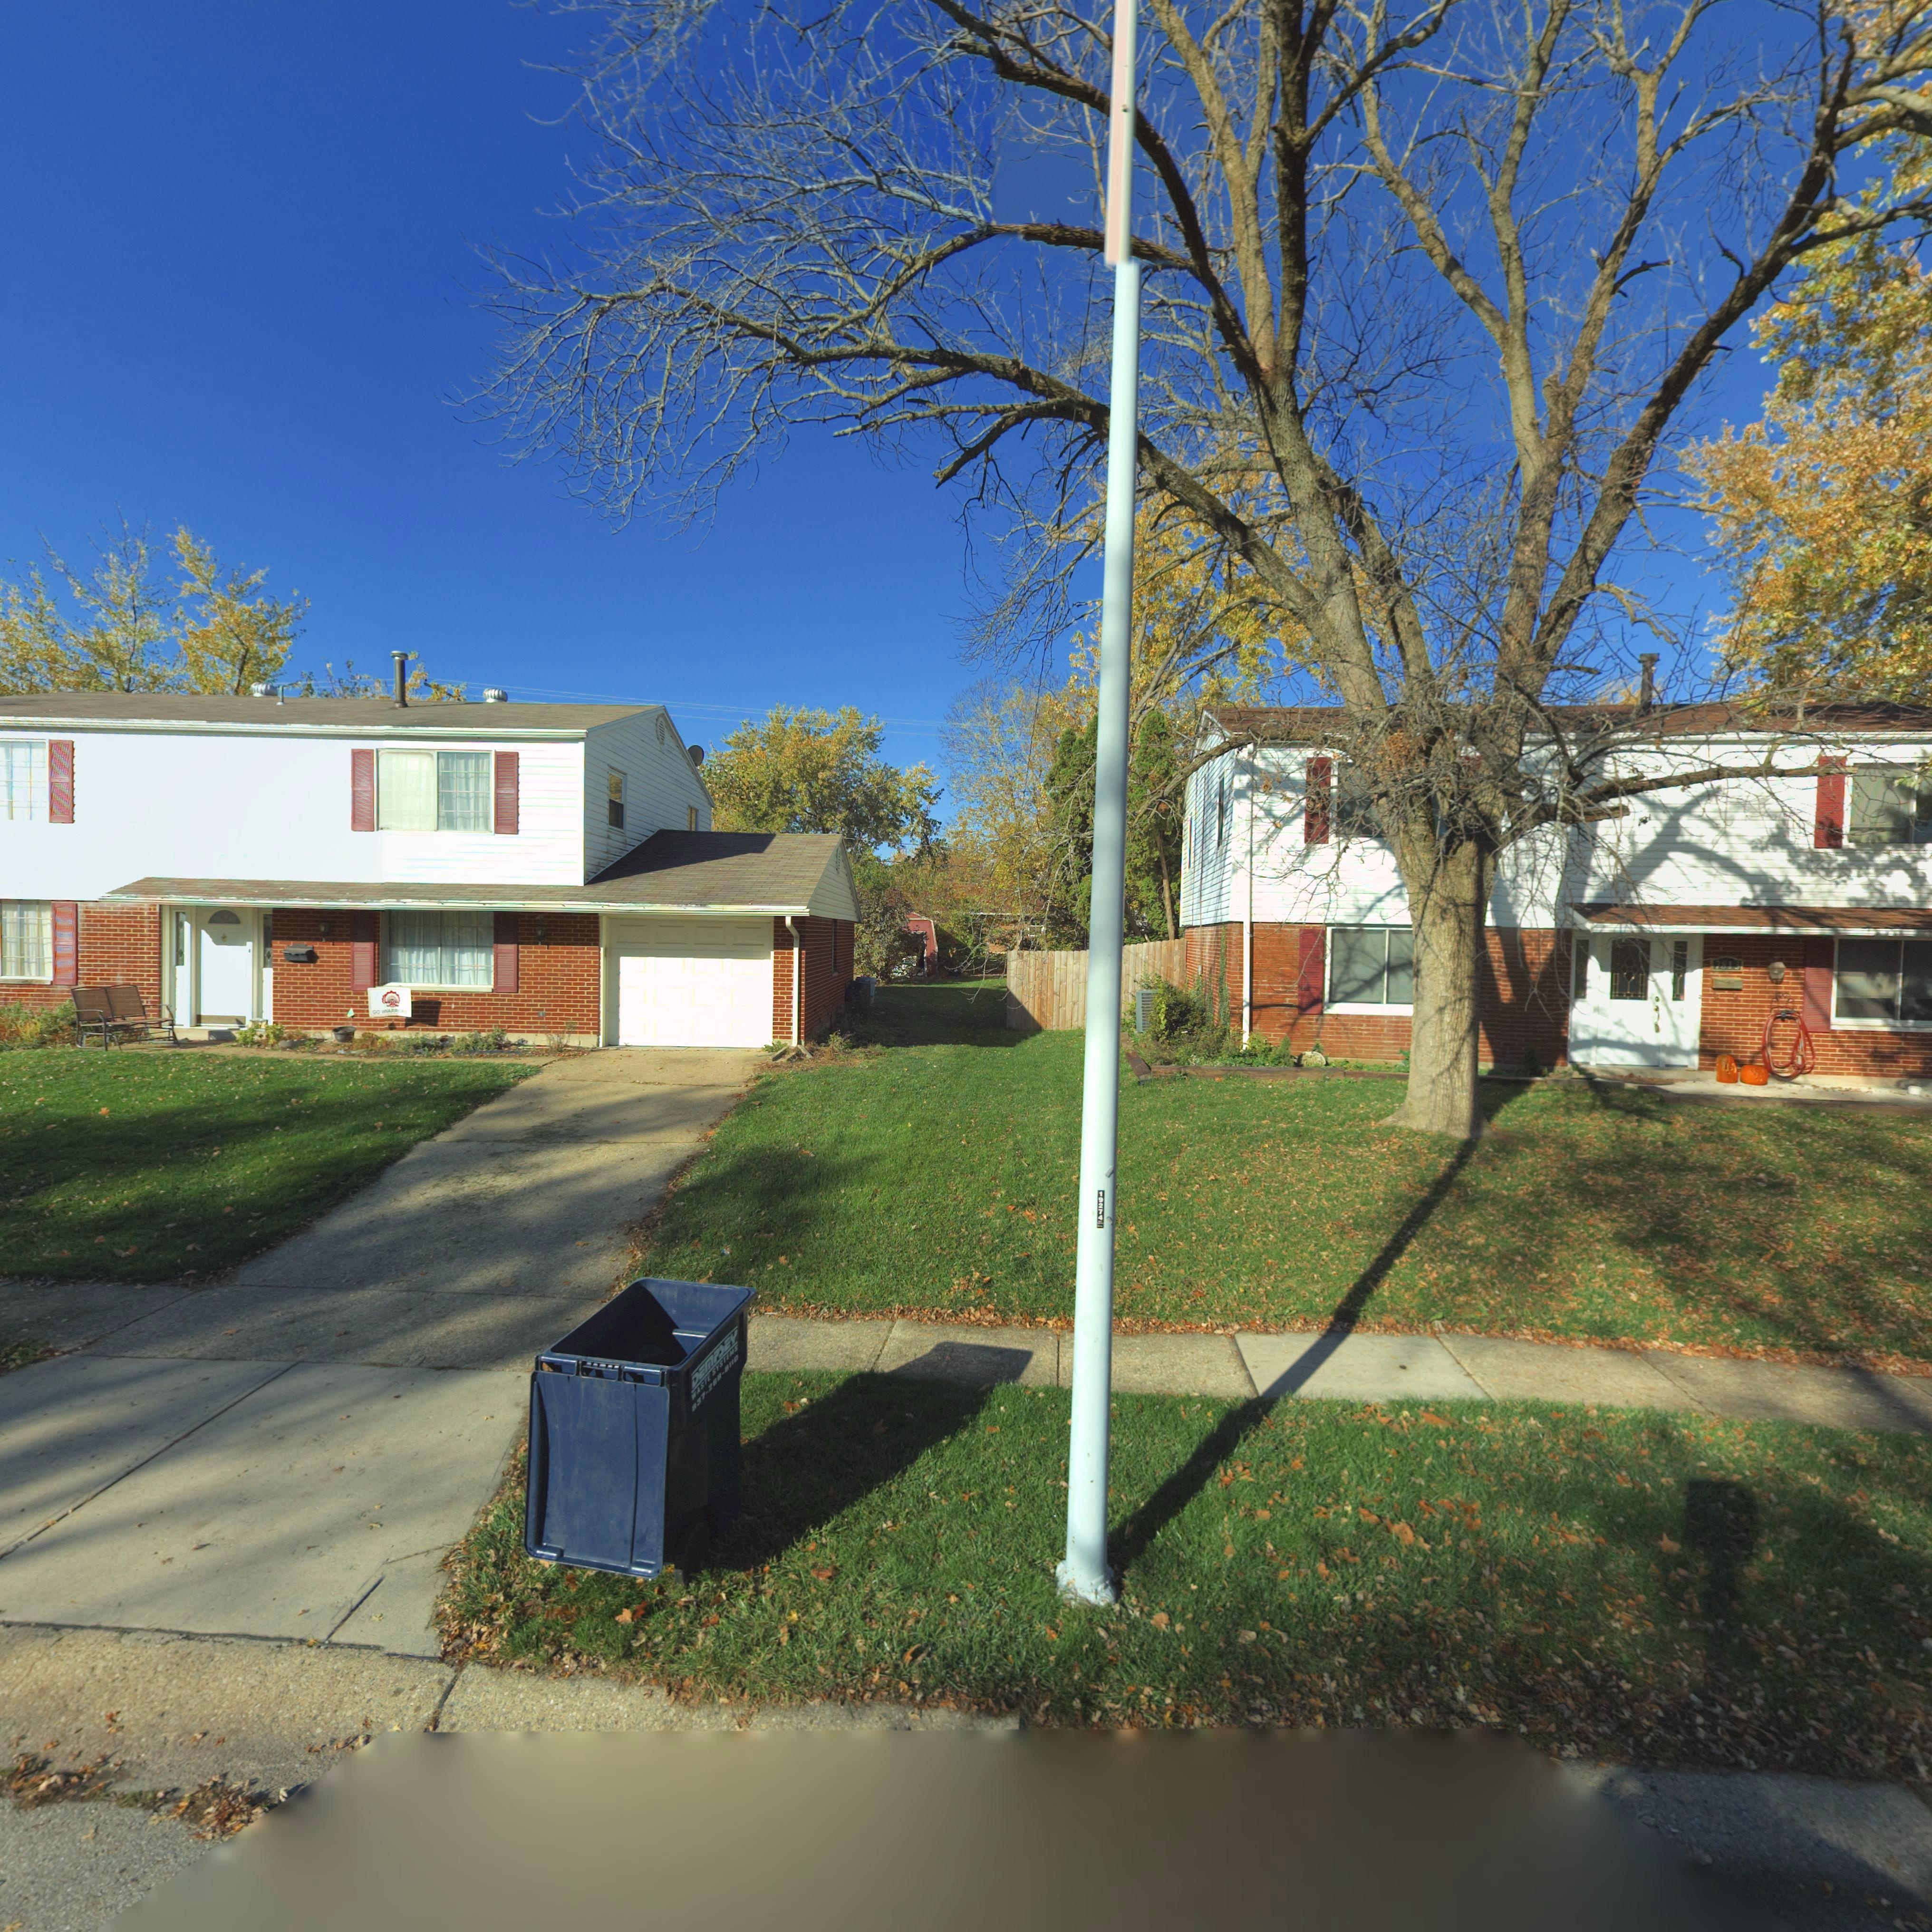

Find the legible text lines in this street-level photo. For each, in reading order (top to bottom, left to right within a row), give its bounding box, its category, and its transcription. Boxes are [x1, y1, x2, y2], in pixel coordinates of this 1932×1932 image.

[1713, 960, 1741, 970] StreetNumber: 7813